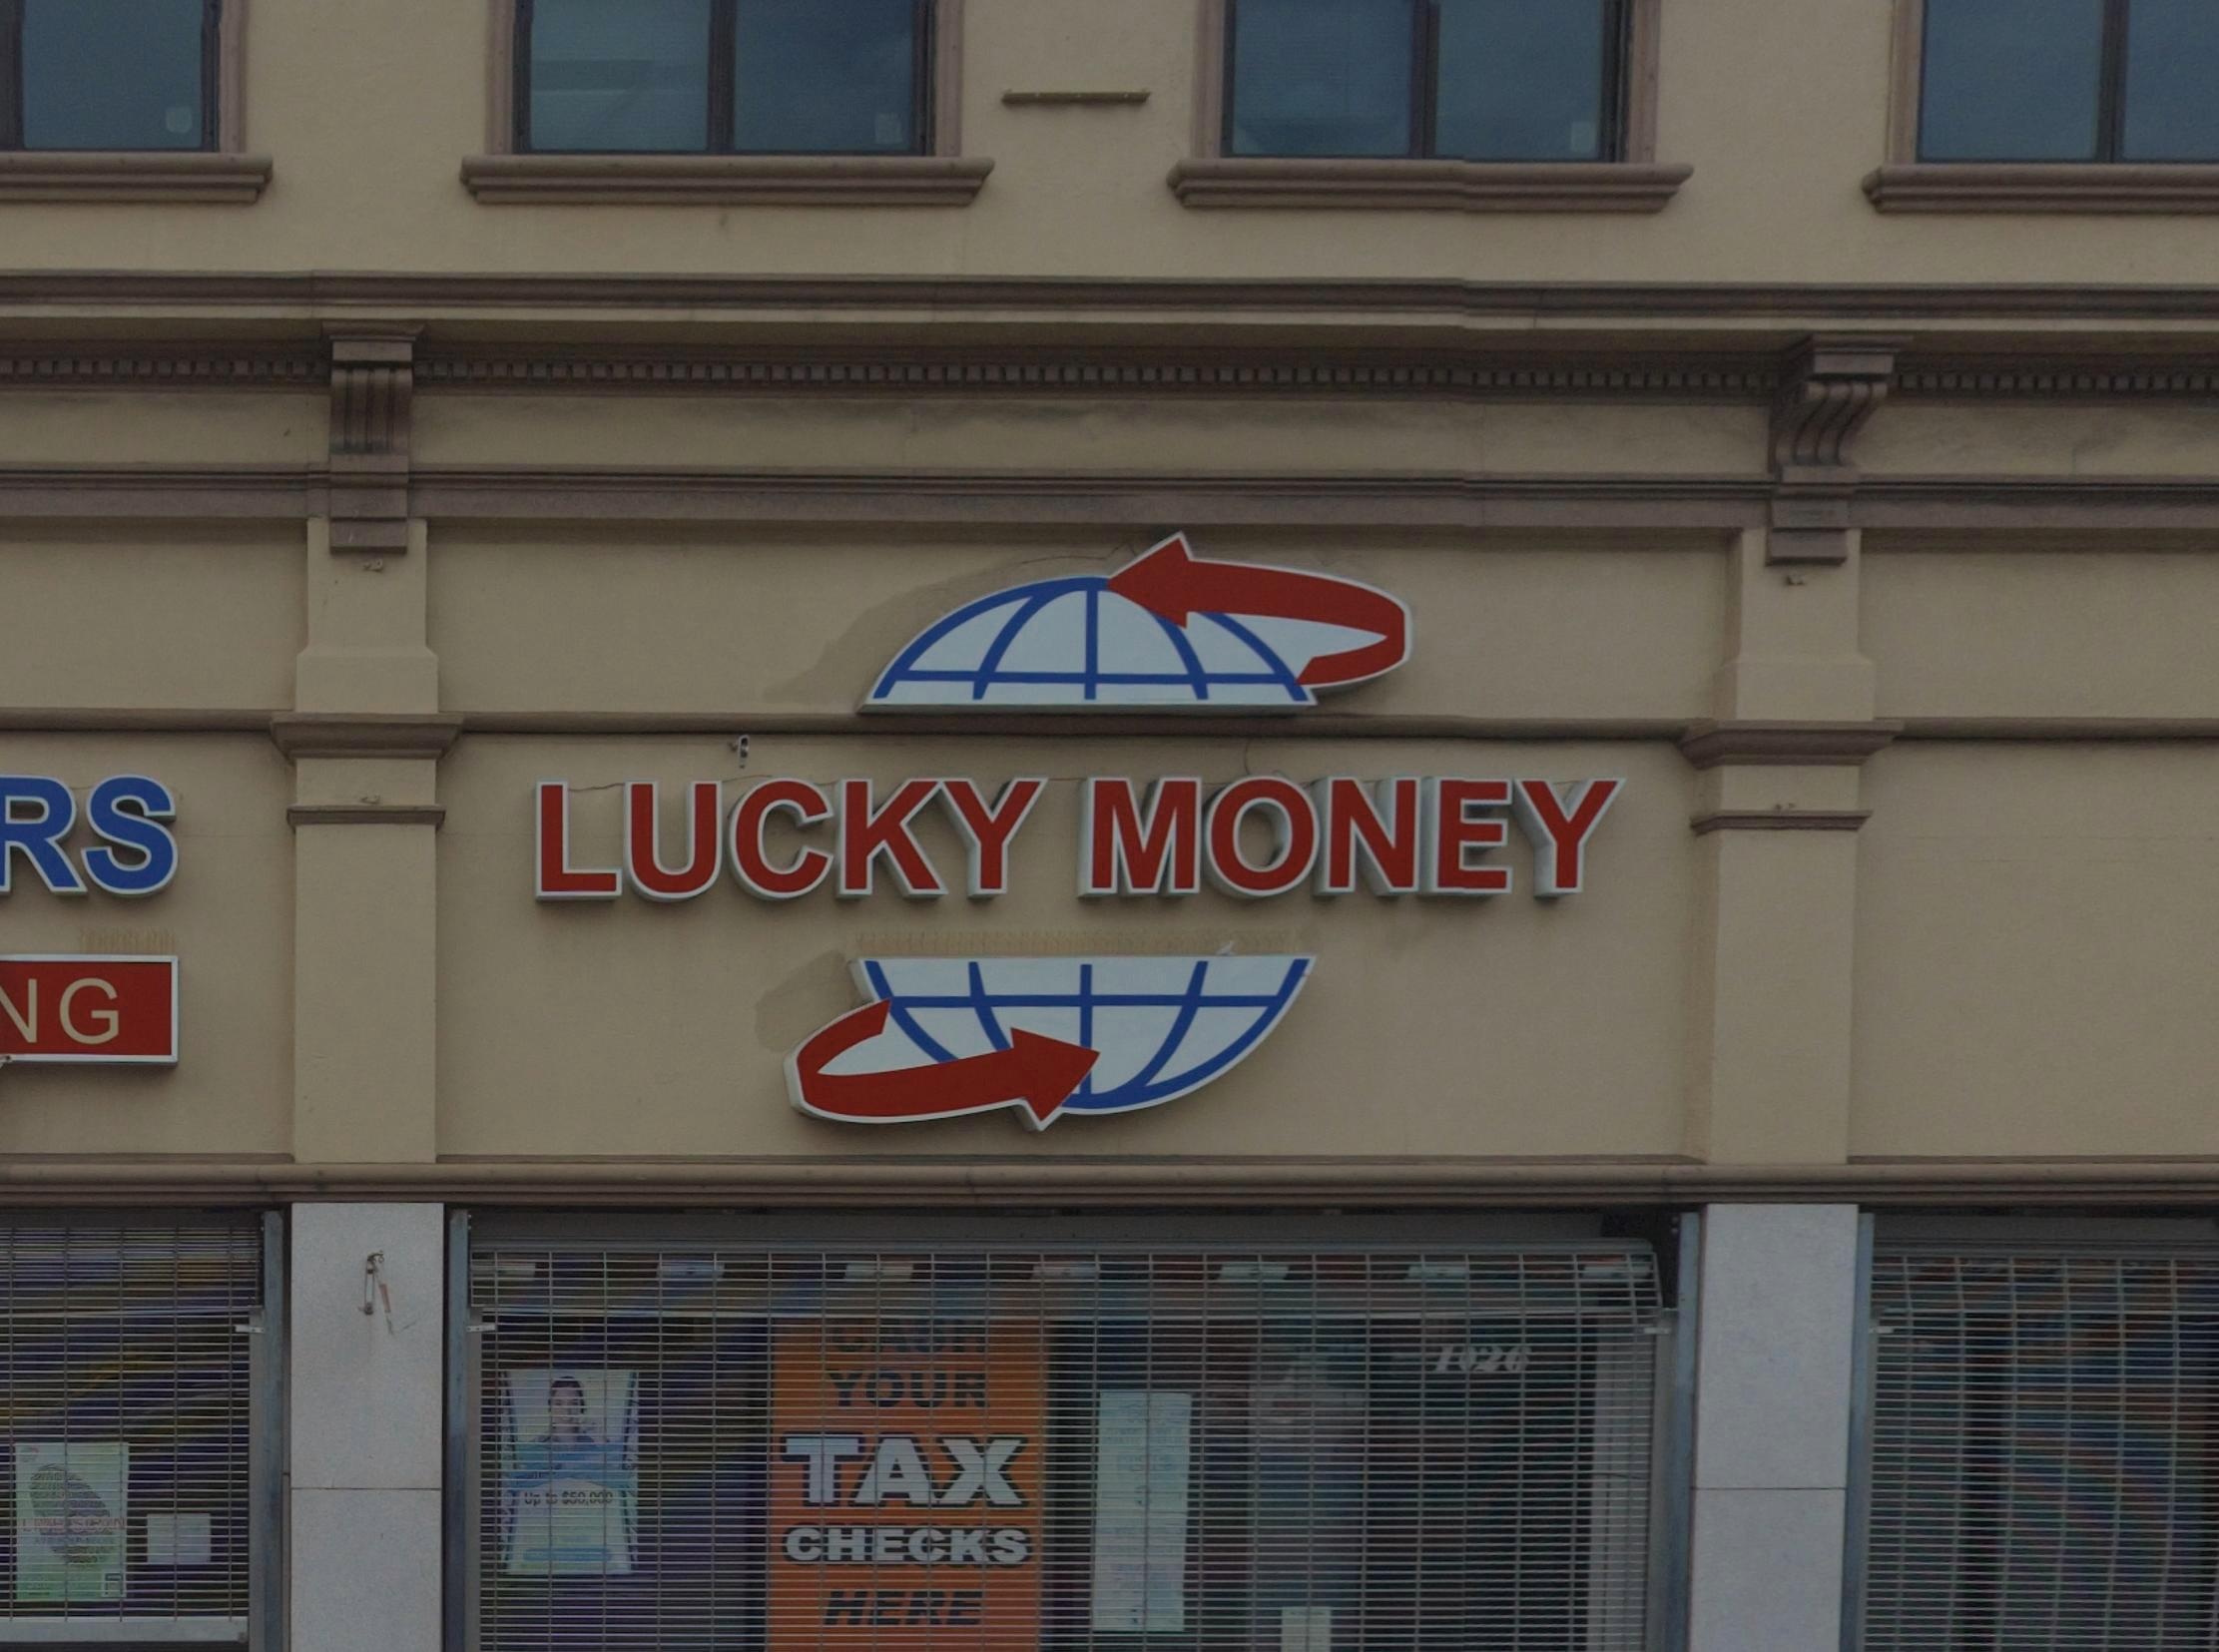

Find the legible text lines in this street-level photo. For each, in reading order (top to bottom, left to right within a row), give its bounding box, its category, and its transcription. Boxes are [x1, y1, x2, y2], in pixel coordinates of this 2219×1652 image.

[81, 772, 179, 895] BusinessName: S
[536, 773, 1624, 896] BusinessName: LUCKY MONEY
[57, 974, 122, 1048] None: G
[819, 1363, 992, 1414] None: YOUR
[1427, 1339, 1540, 1377] StreetNumber: 1*2*
[783, 1433, 1026, 1507] None: TAX
[782, 1523, 1030, 1566] None: CHECKS
[821, 1585, 986, 1628] None: HERE